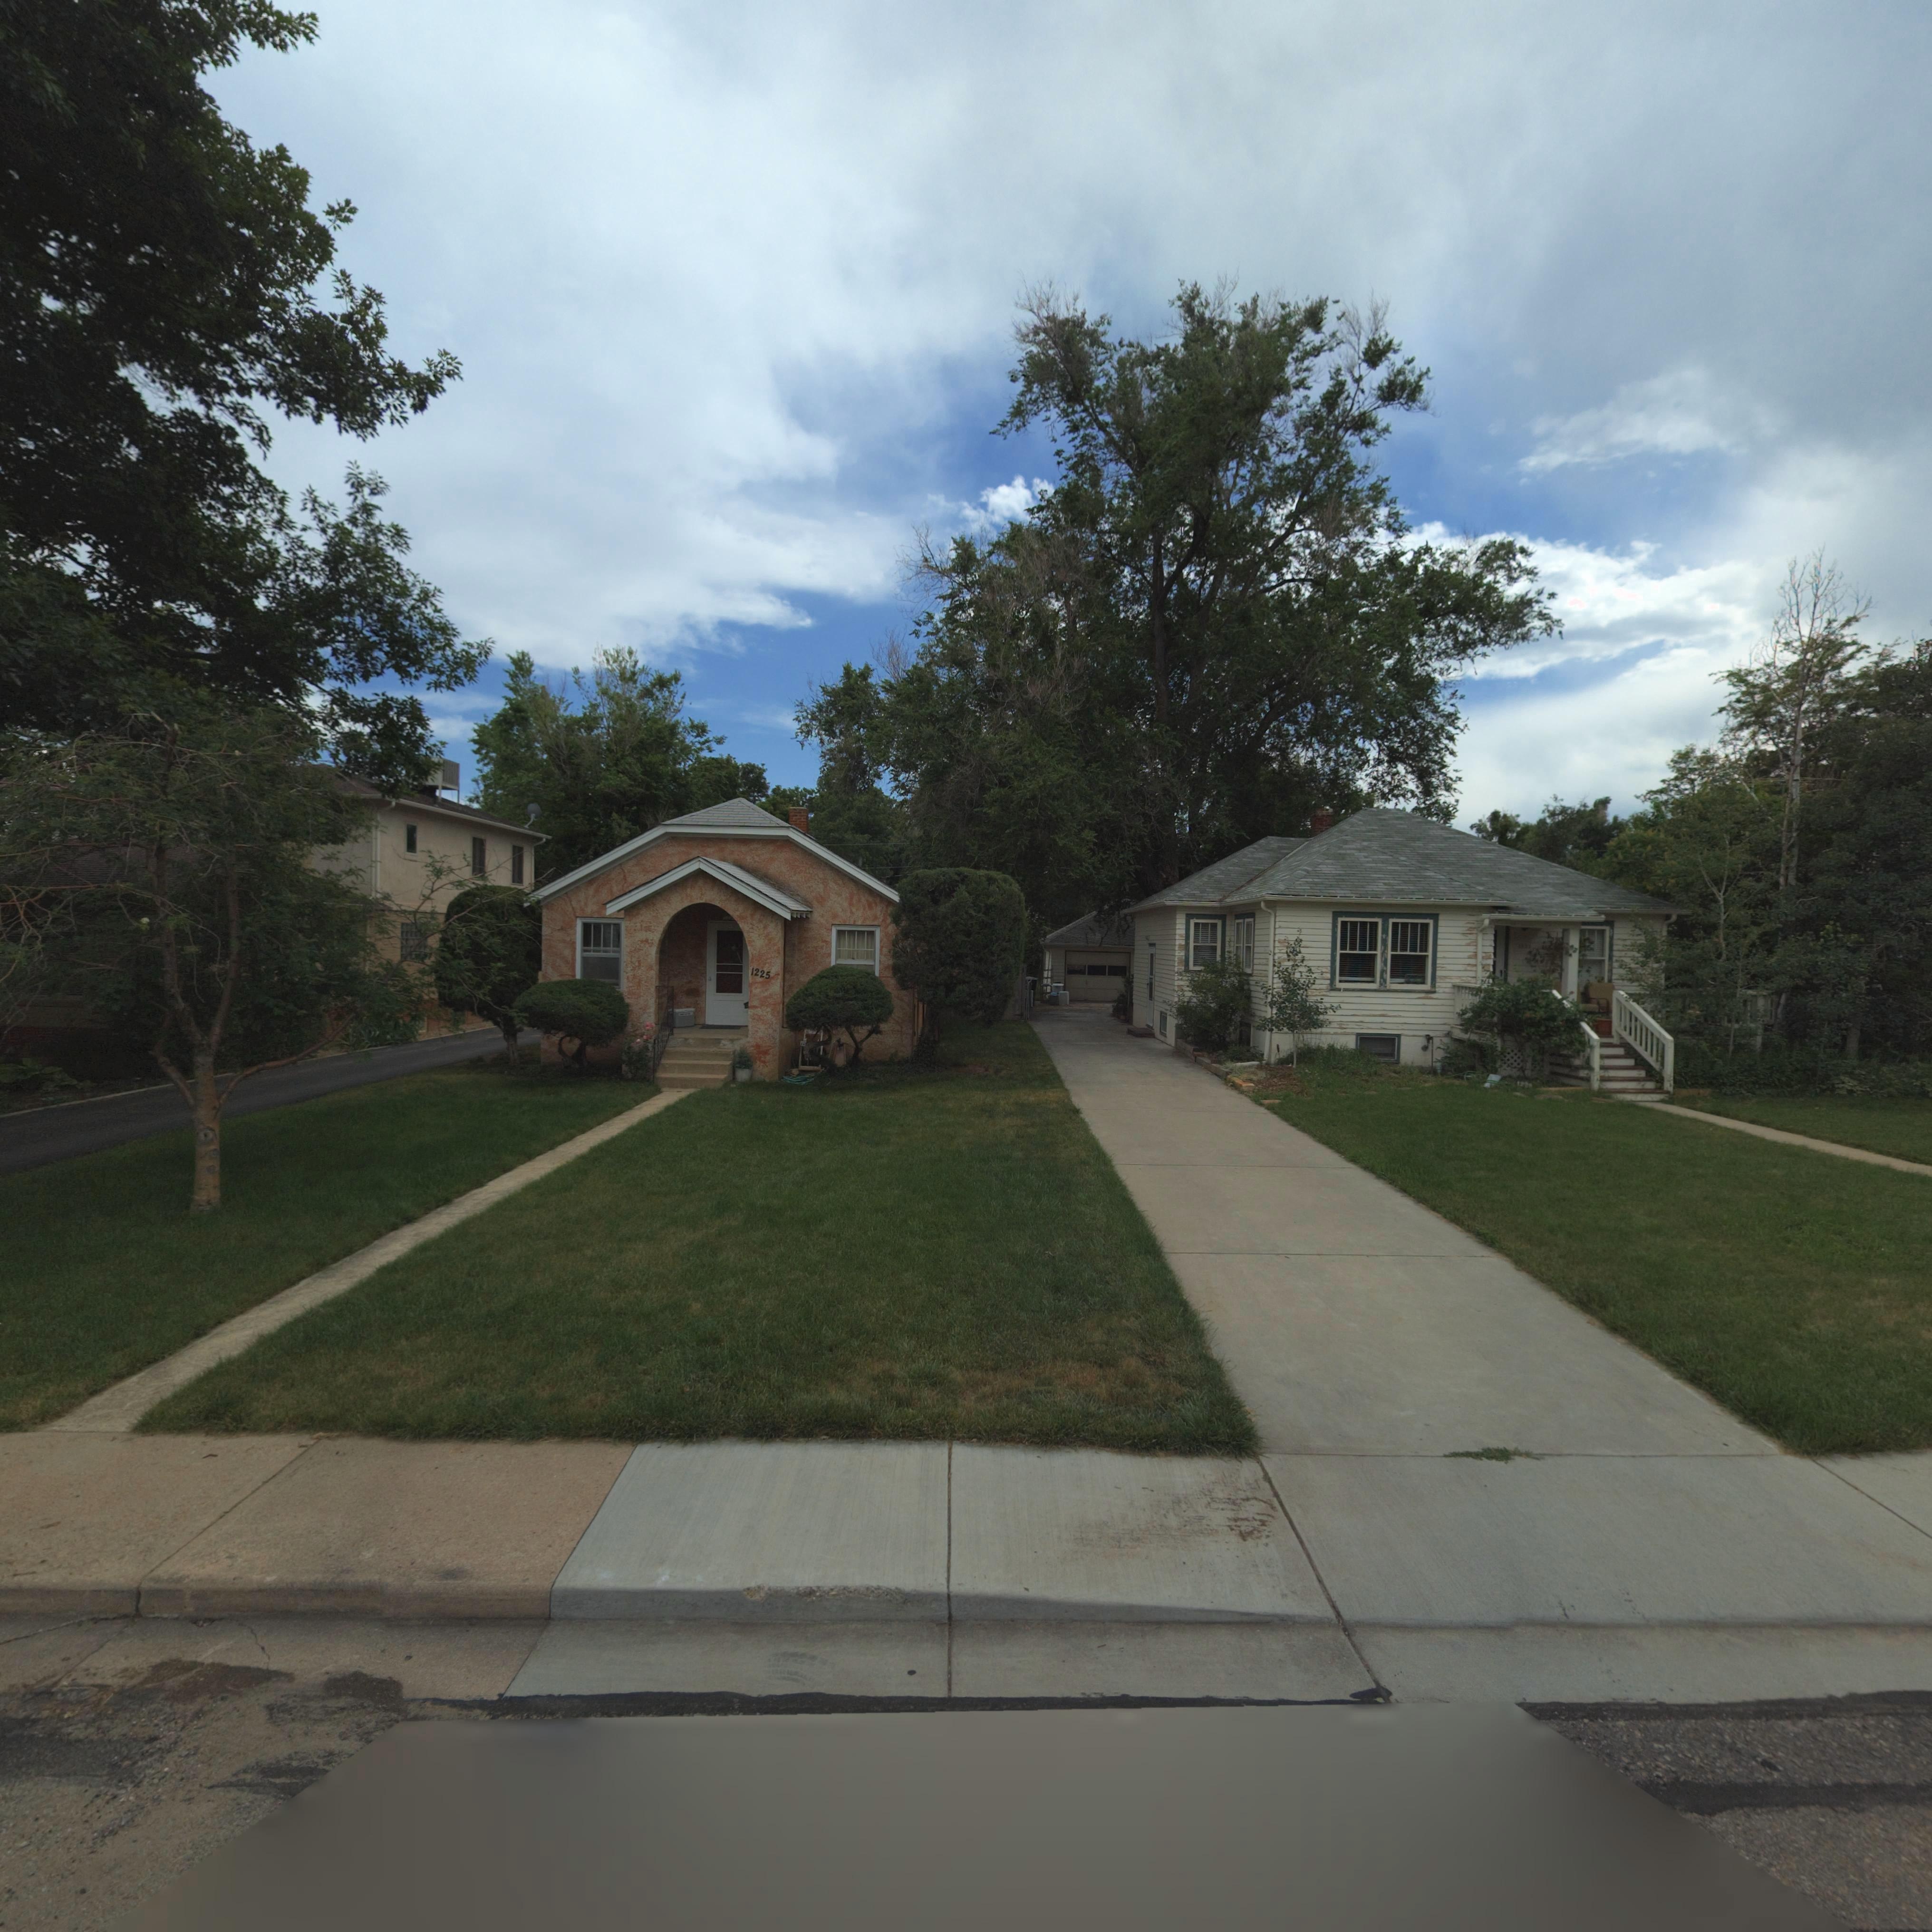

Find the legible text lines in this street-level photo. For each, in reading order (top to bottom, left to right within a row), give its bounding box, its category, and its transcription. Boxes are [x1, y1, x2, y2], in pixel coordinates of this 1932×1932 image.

[751, 967, 771, 980] StreetNumber: 1225